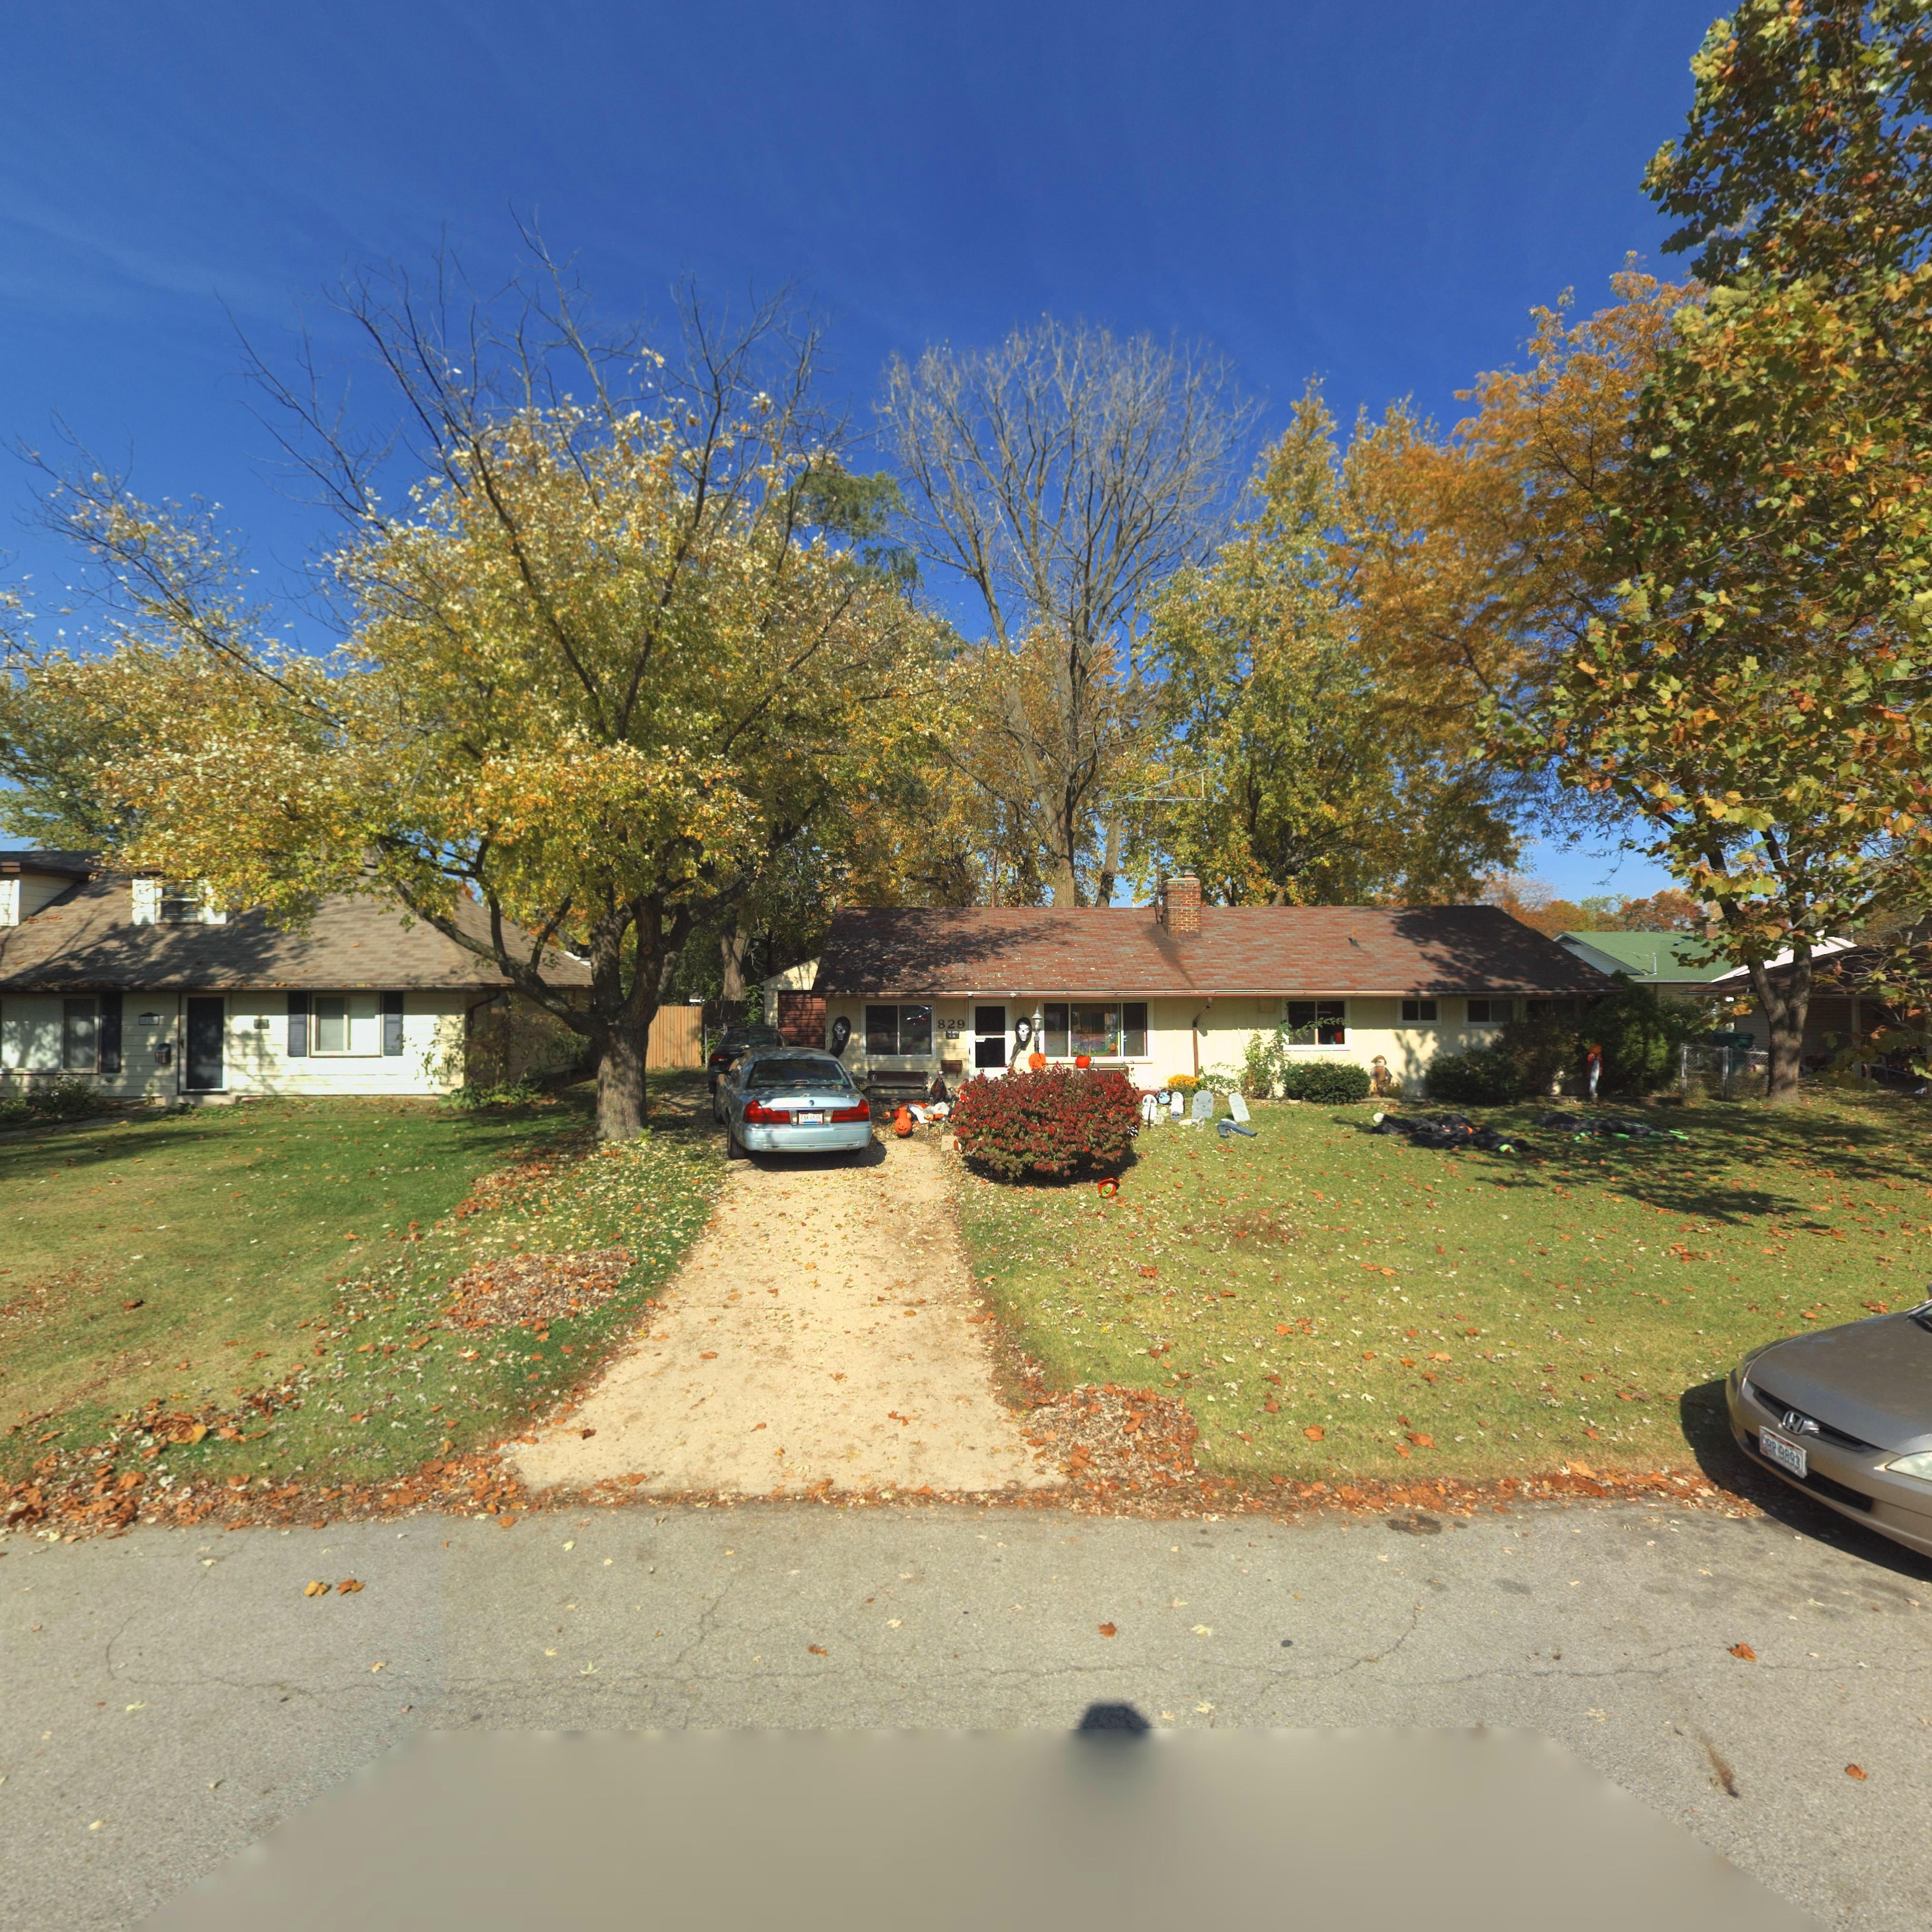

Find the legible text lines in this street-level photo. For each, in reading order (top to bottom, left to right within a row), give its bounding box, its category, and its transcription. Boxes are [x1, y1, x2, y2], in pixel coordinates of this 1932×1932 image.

[937, 1018, 966, 1030] StreetNumber: 829
[1761, 1433, 1803, 1470] None: *BR 9*93